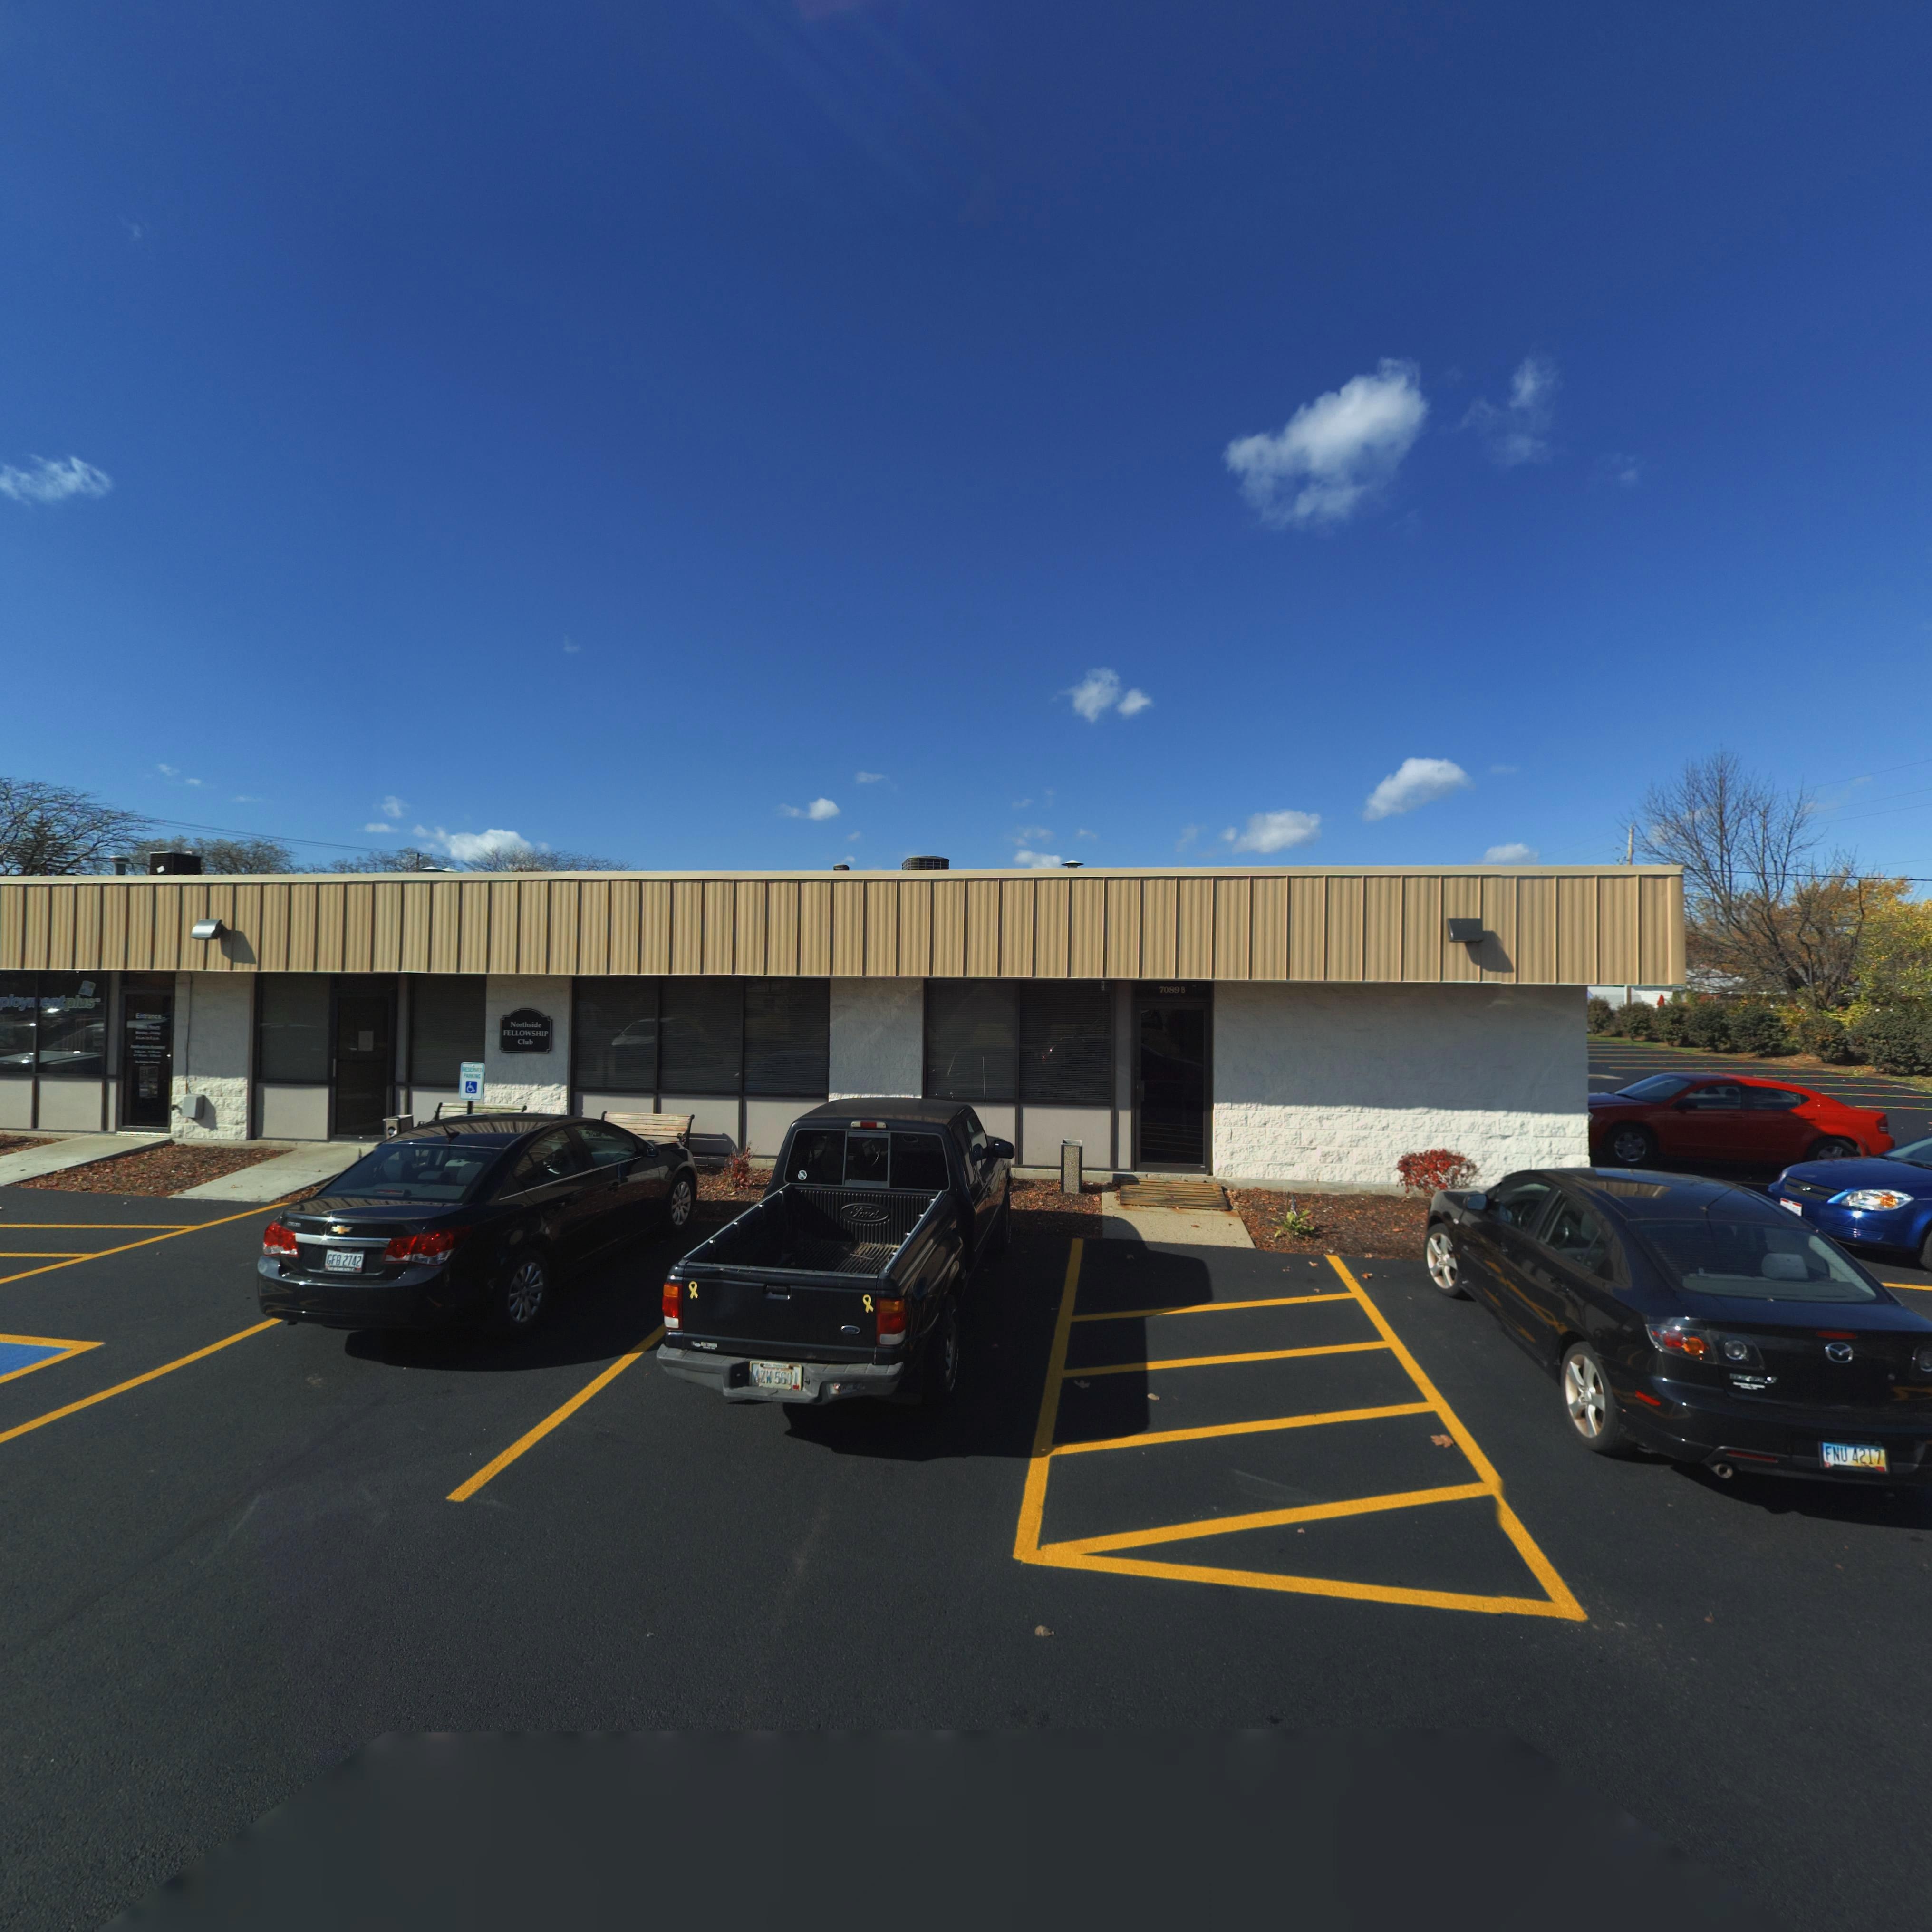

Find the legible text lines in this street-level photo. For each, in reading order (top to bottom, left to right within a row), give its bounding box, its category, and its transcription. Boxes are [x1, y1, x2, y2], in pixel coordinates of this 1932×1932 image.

[1158, 985, 1187, 995] StreetNumber: 7089 B